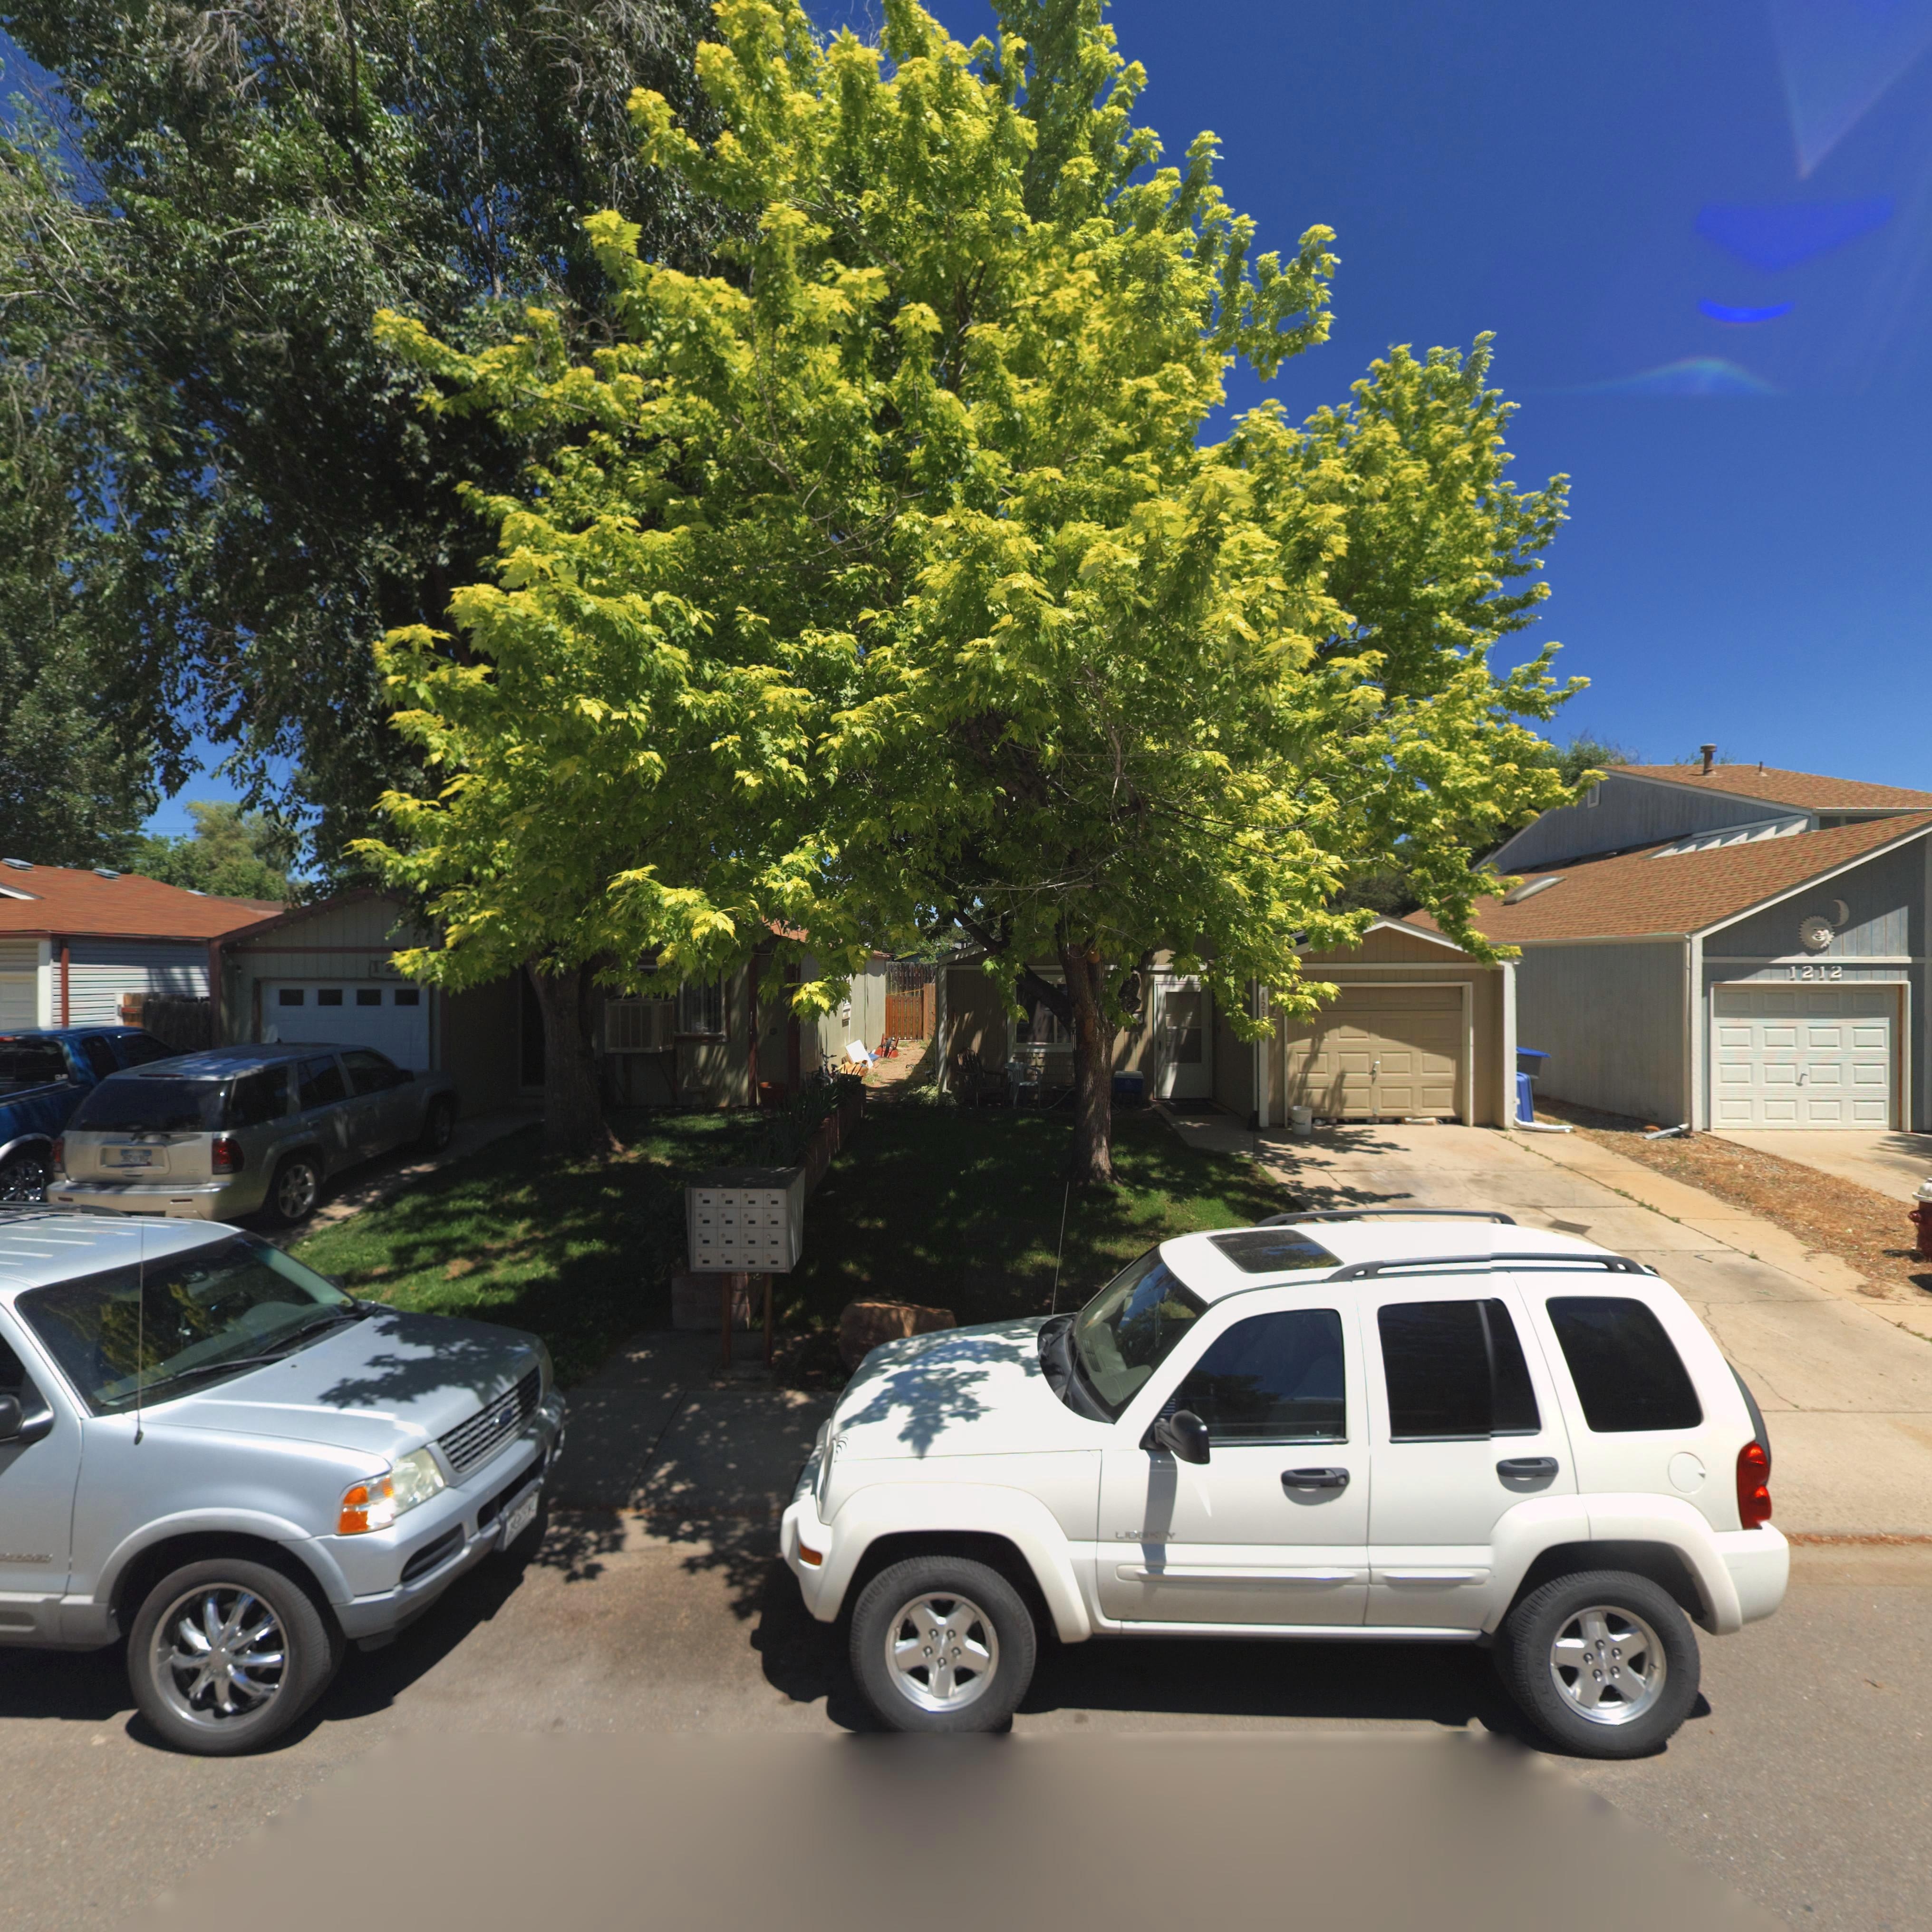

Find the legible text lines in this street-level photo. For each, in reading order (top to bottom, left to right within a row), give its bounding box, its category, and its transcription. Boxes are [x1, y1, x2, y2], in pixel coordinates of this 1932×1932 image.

[370, 959, 380, 974] StreetNumber: 1
[1789, 965, 1843, 979] StreetNumber: 1212
[1260, 992, 1266, 1017] StreetNumber: 121